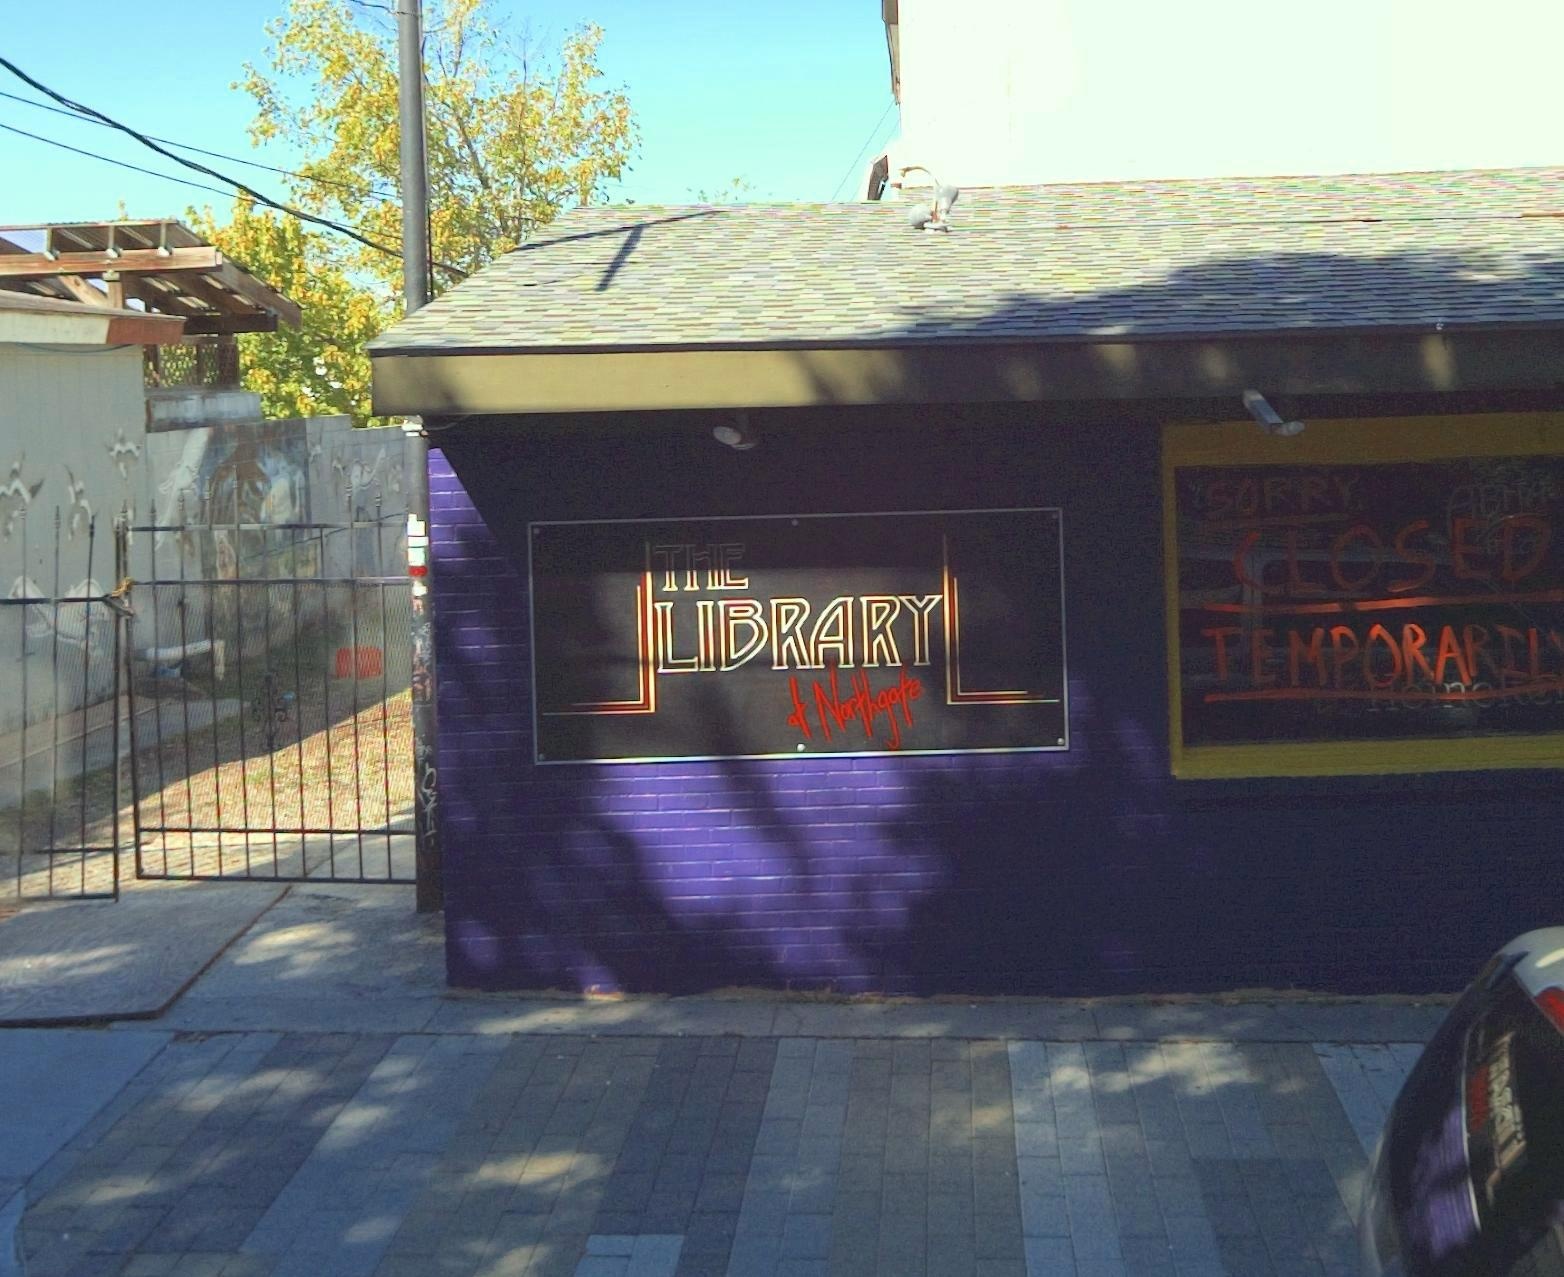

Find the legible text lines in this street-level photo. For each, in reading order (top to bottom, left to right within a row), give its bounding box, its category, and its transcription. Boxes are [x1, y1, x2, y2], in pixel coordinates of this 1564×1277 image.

[1202, 471, 1362, 521] None: SORRY
[1440, 472, 1549, 543] None: ABITA
[652, 541, 750, 591] BusinessName: THE
[1231, 515, 1551, 597] None: CLOSED
[653, 594, 943, 675] BusinessName: LIBRARY
[1197, 621, 1556, 687] None: TEMPORARIL
[784, 654, 927, 751] BusinessName: at Northgate
[1361, 668, 1557, 717] None: Heineke